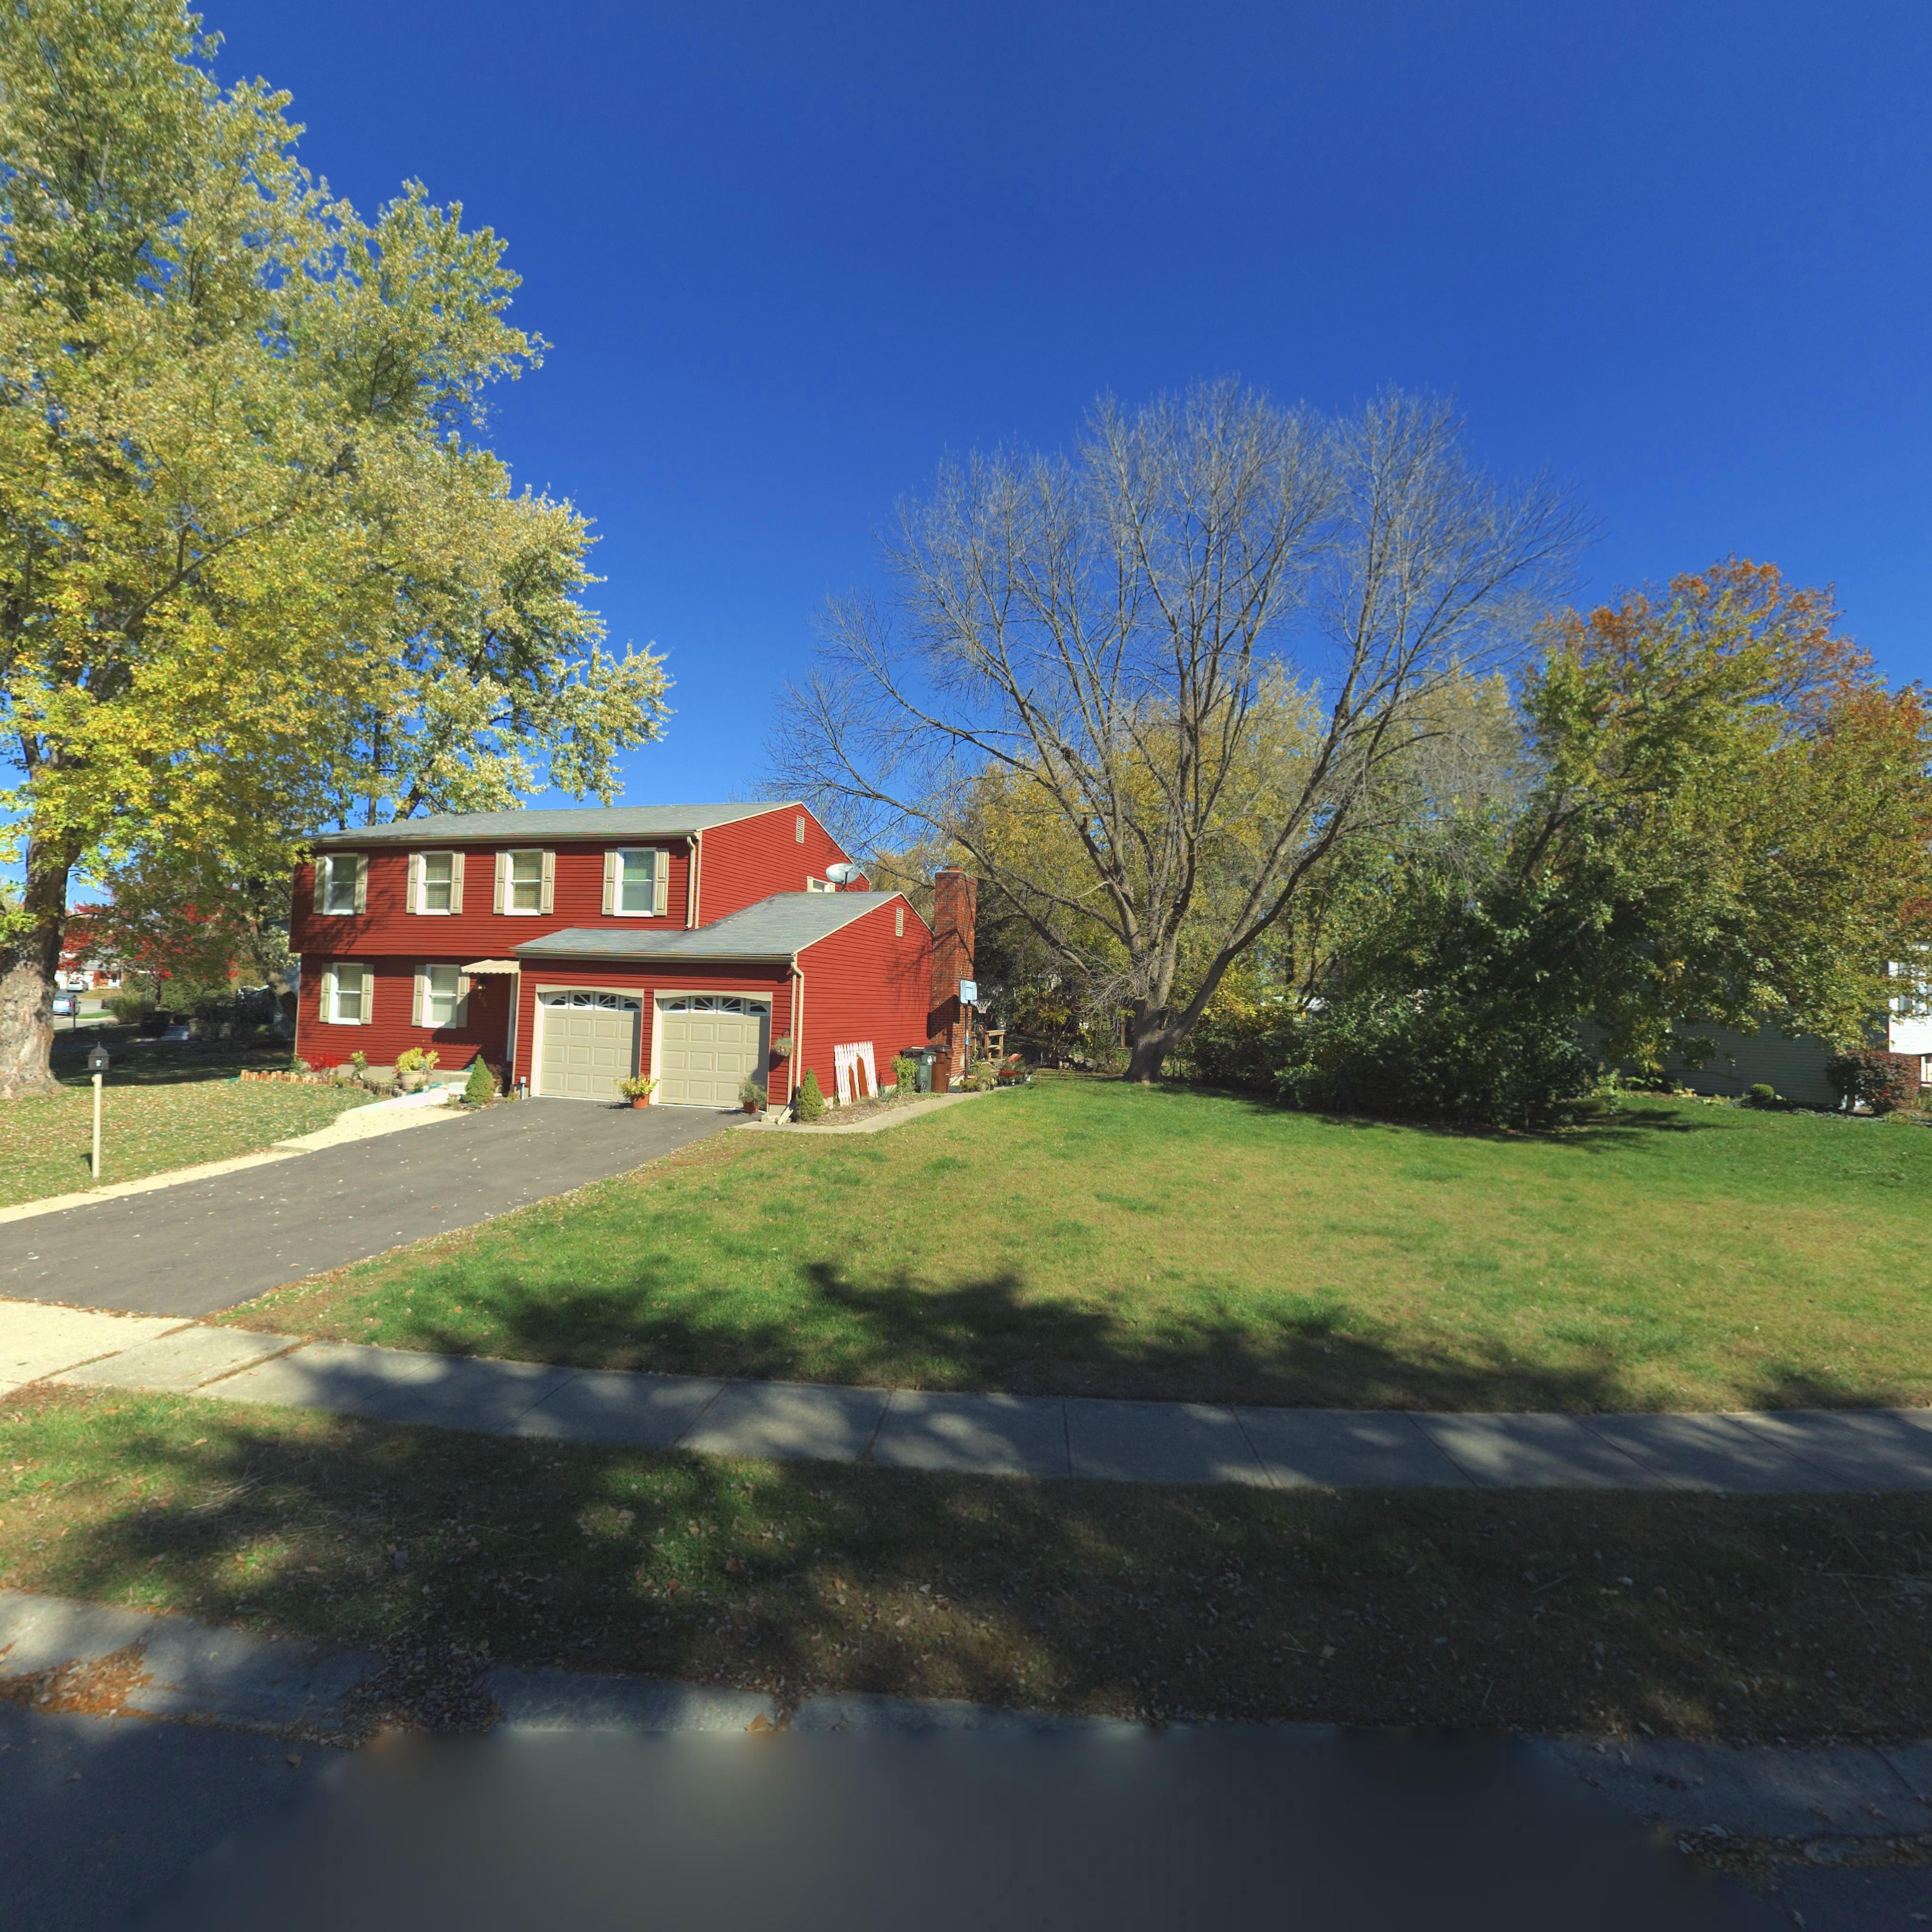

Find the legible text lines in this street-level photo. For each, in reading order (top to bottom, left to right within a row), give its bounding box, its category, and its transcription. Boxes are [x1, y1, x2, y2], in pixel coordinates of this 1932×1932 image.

[477, 991, 488, 1008] StreetNumber: 208